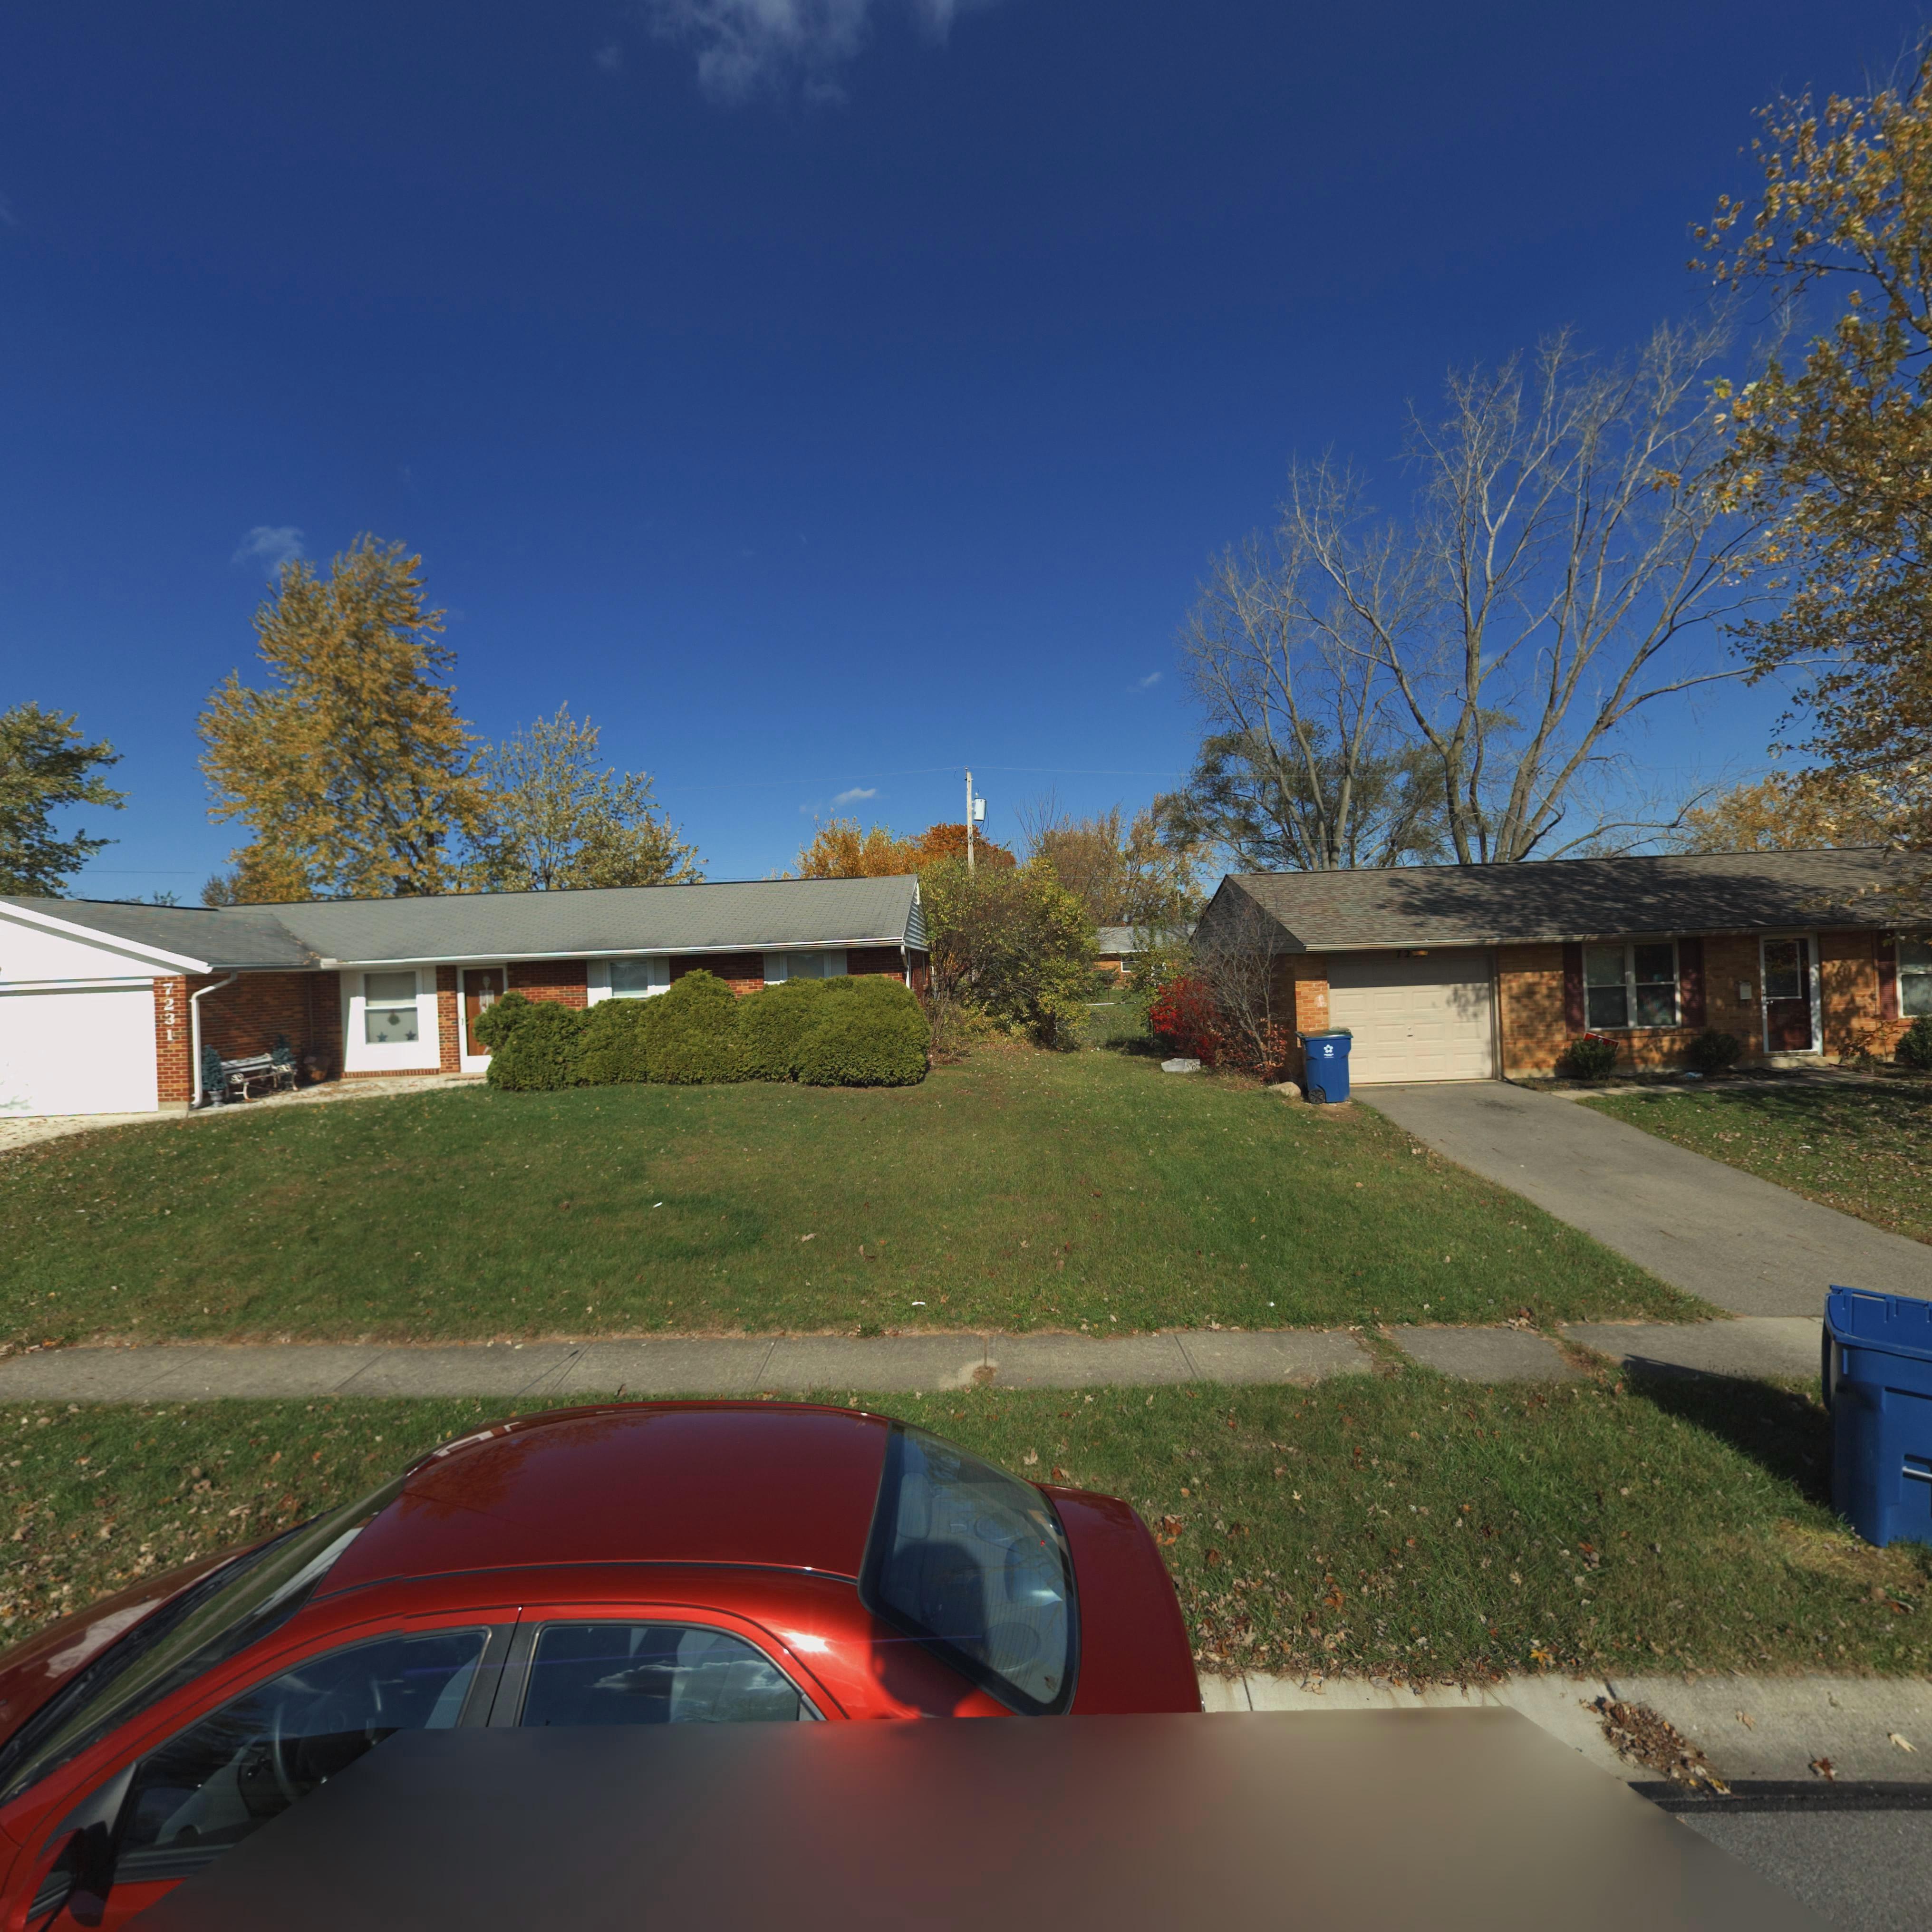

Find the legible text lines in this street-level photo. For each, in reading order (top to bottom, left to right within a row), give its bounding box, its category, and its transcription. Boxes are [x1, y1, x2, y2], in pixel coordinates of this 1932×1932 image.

[1395, 949, 1411, 959] StreetNumber: 72
[161, 982, 177, 1043] StreetNumber: 7231